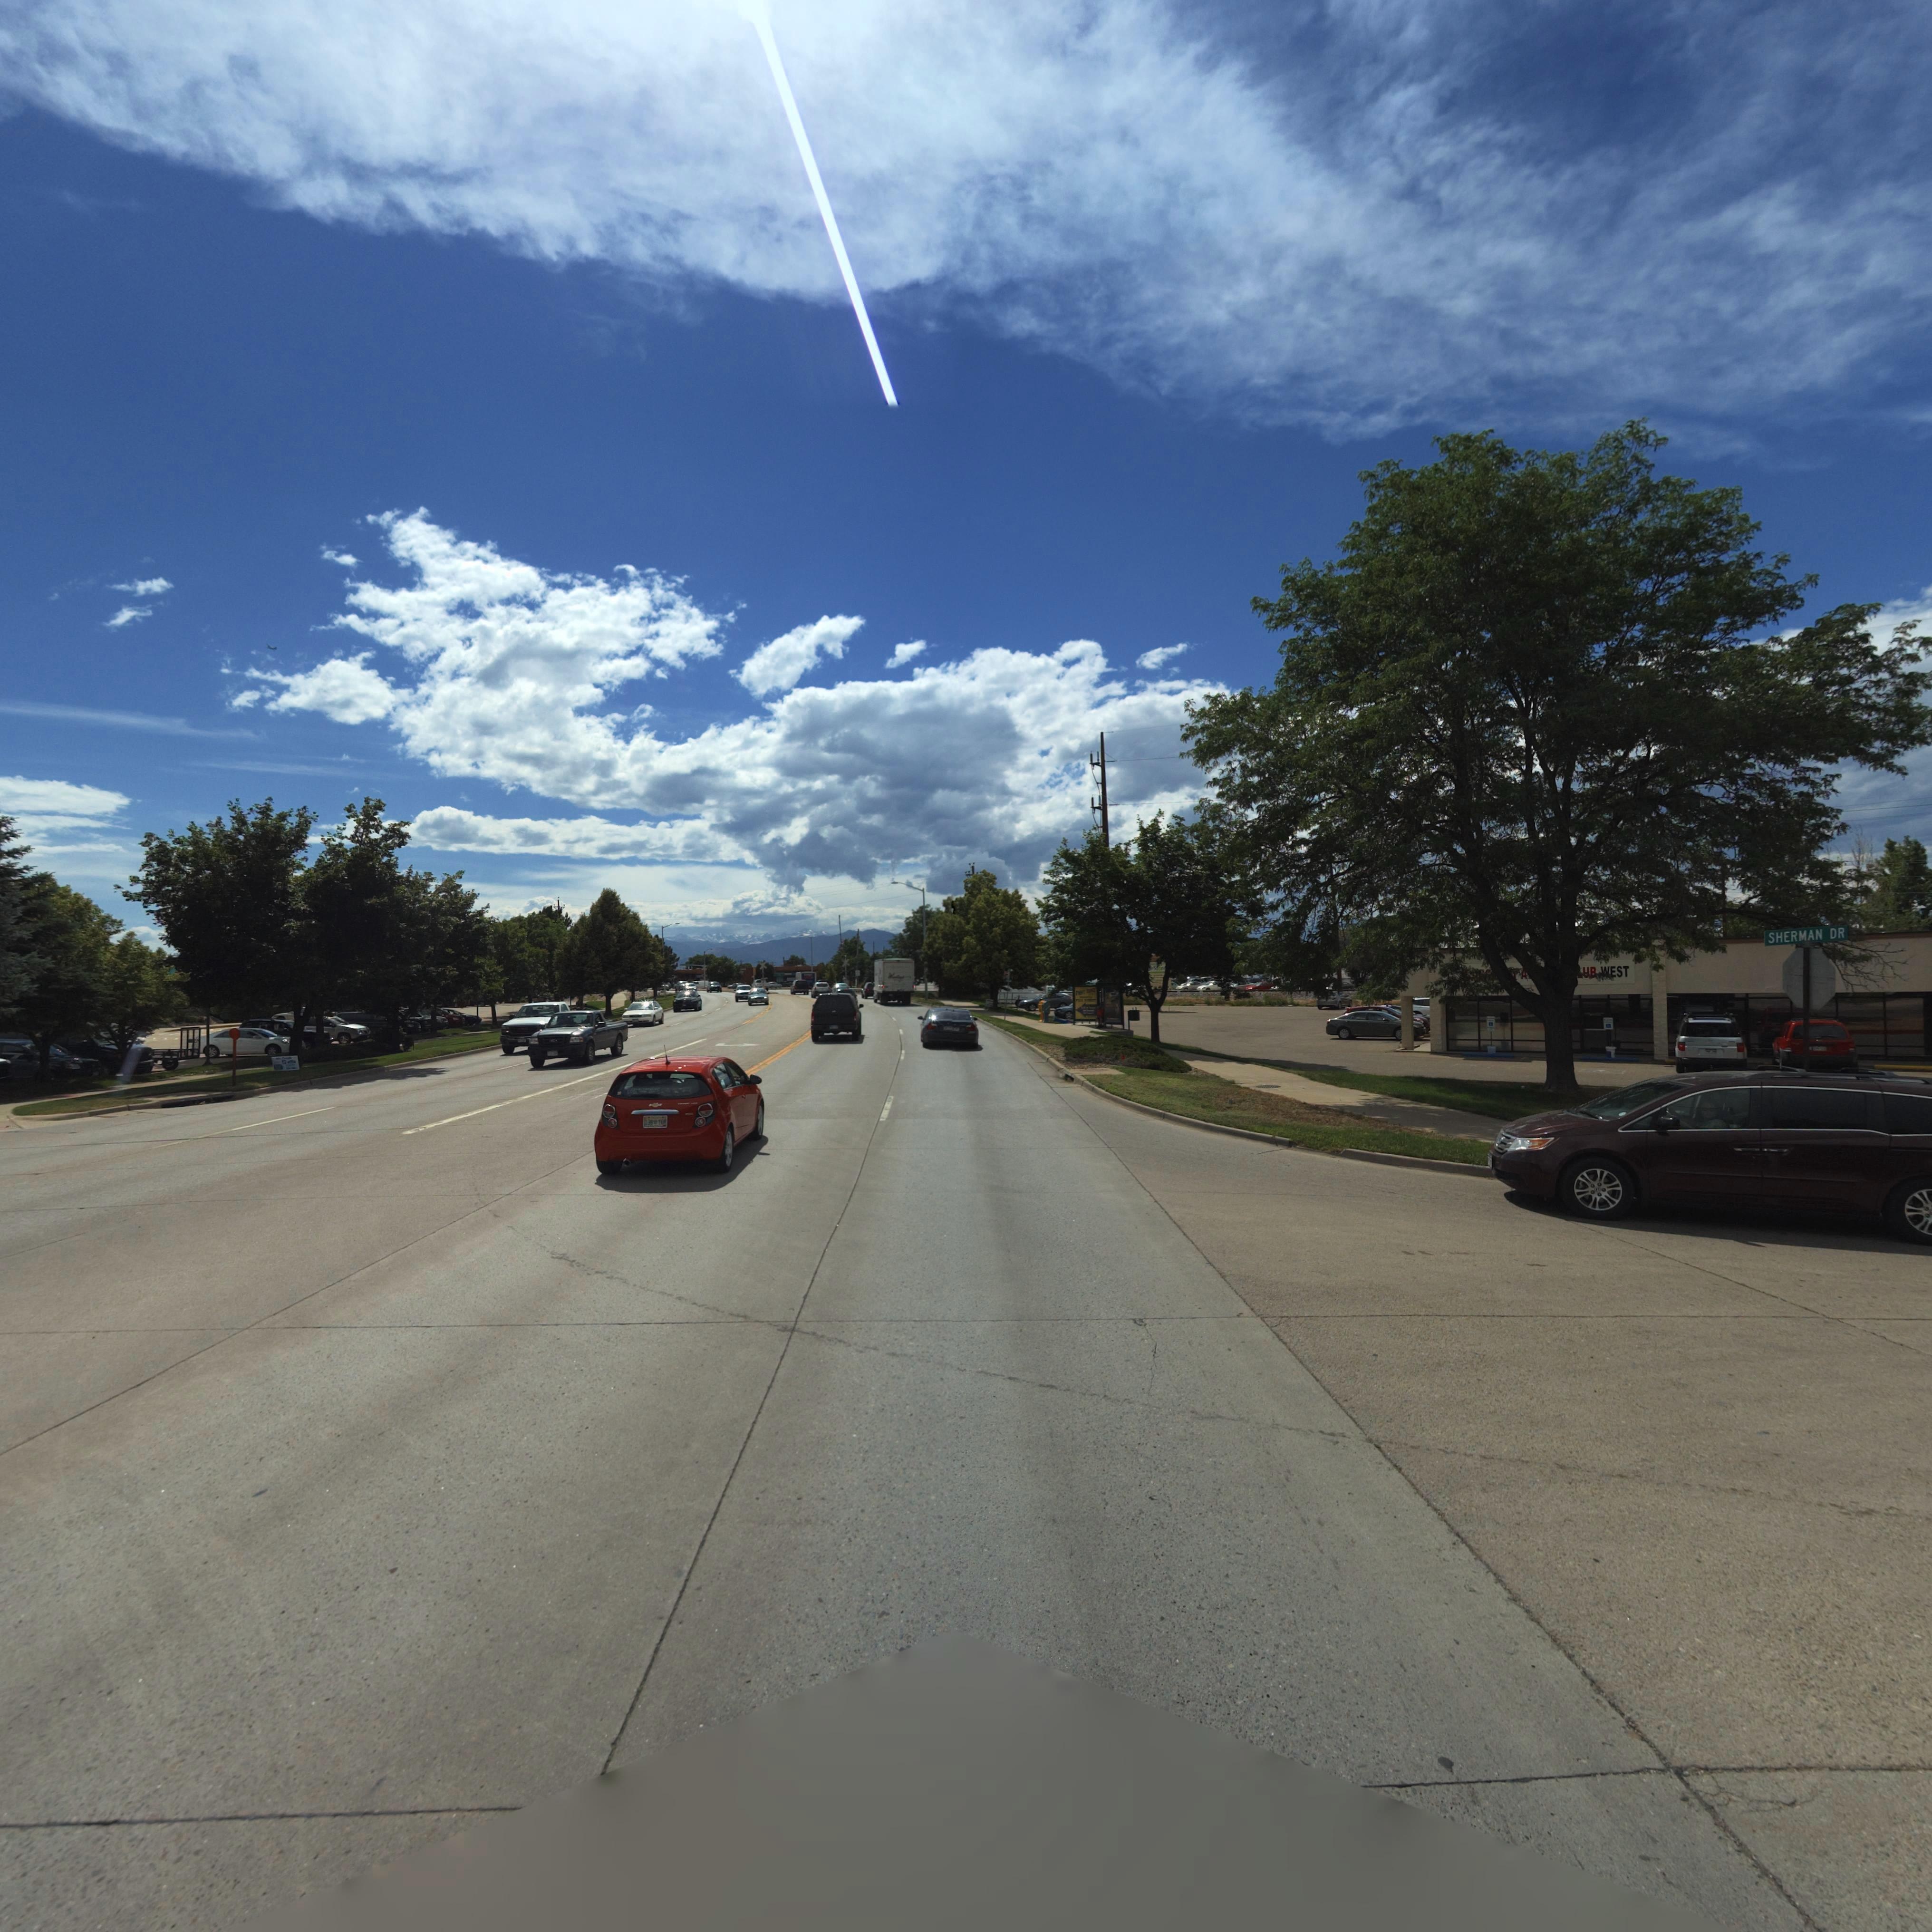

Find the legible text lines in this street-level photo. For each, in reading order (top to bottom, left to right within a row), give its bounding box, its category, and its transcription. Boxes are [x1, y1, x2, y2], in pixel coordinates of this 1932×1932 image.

[1768, 927, 1845, 944] StreetName: SHERMAN DR
[1150, 965, 1166, 970] BusinessName: eS*or*
[1520, 966, 1629, 979] BusinessName: A U* WEST